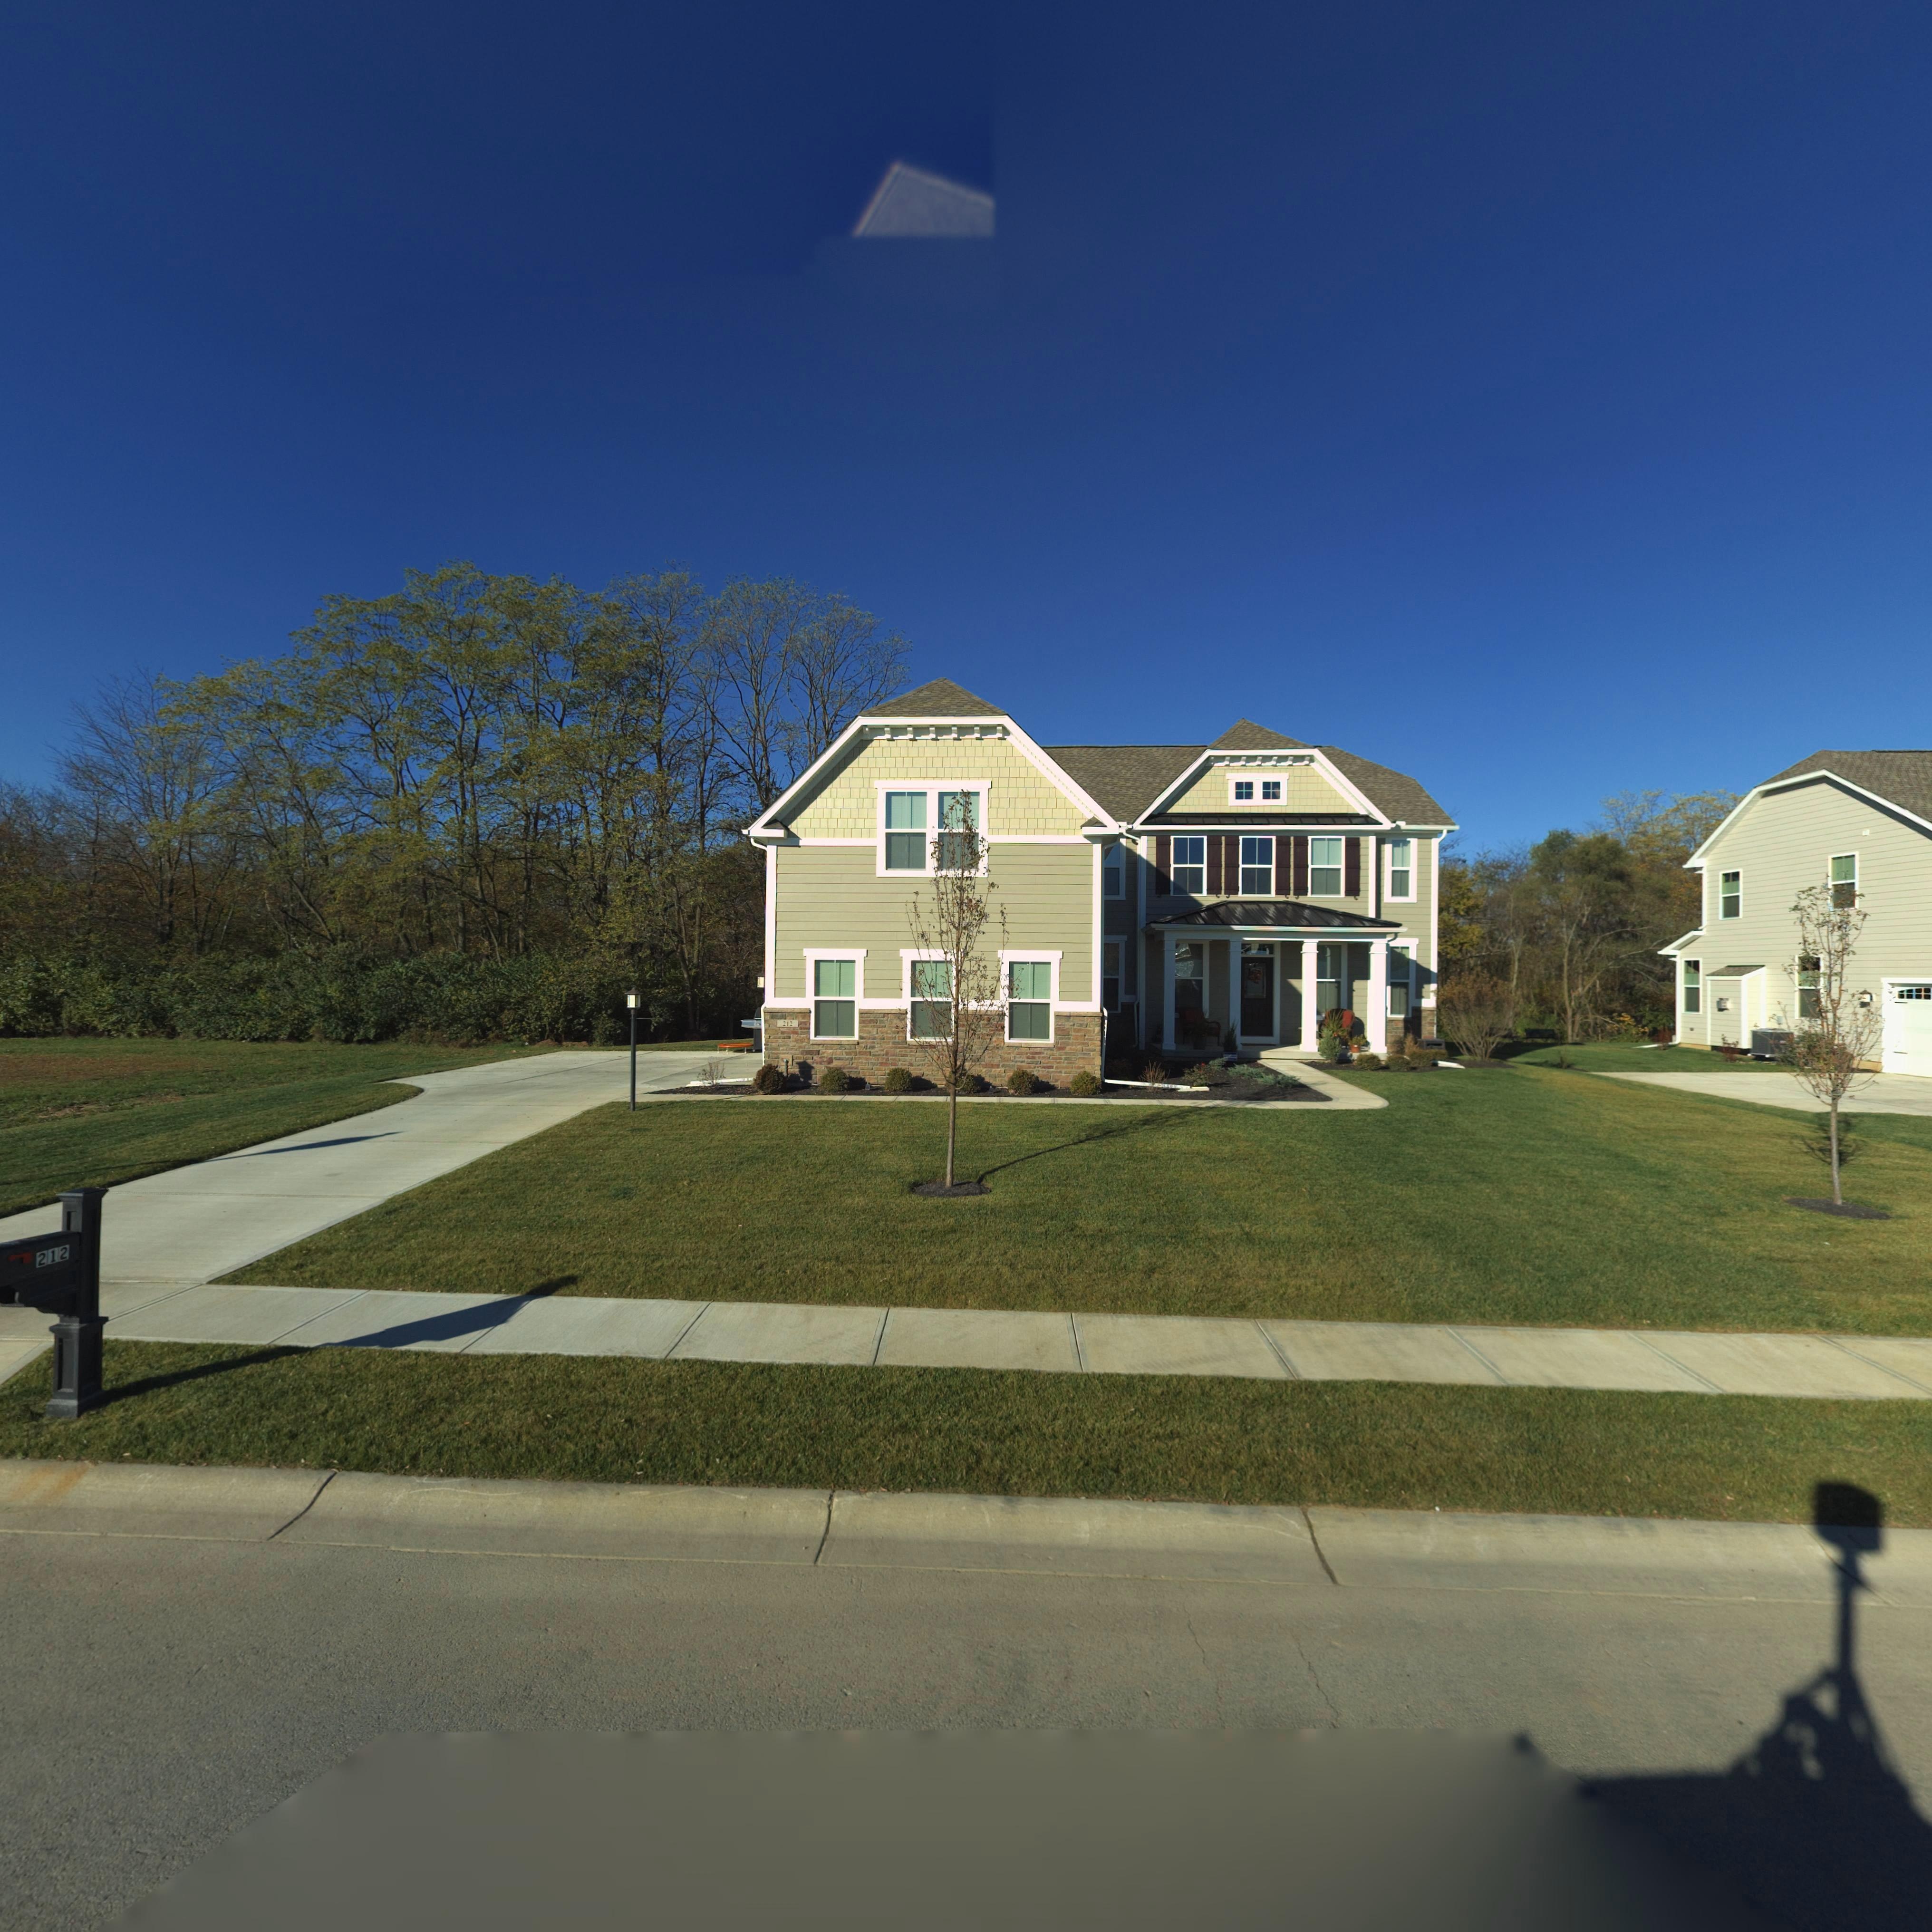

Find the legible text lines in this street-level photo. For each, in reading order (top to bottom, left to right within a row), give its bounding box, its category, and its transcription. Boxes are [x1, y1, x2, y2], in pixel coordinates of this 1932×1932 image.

[37, 1245, 69, 1268] StreetNumber: 212